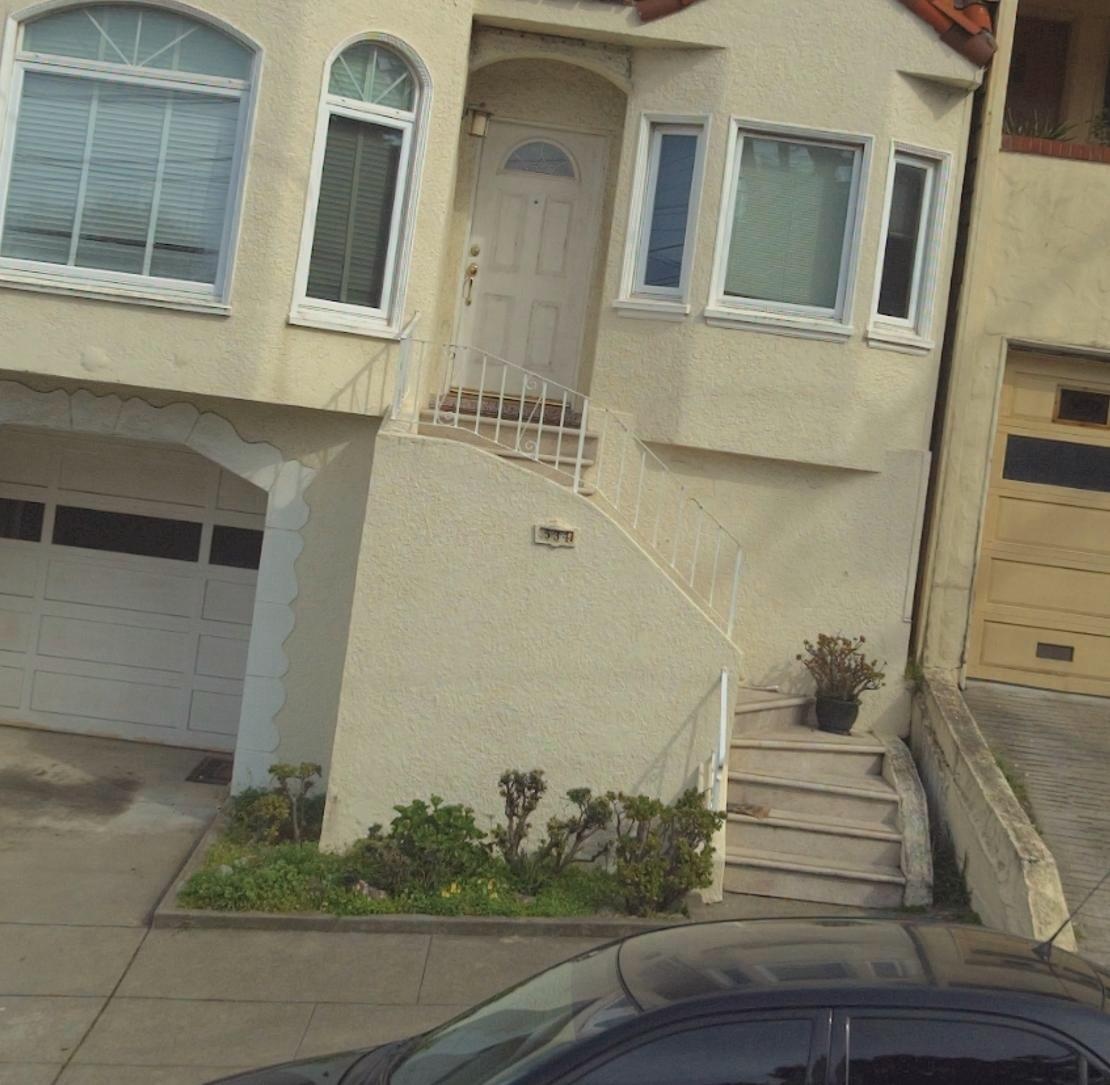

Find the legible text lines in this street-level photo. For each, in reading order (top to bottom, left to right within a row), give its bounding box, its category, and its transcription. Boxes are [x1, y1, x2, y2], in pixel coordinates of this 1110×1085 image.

[541, 529, 571, 545] StreetNumber: 534